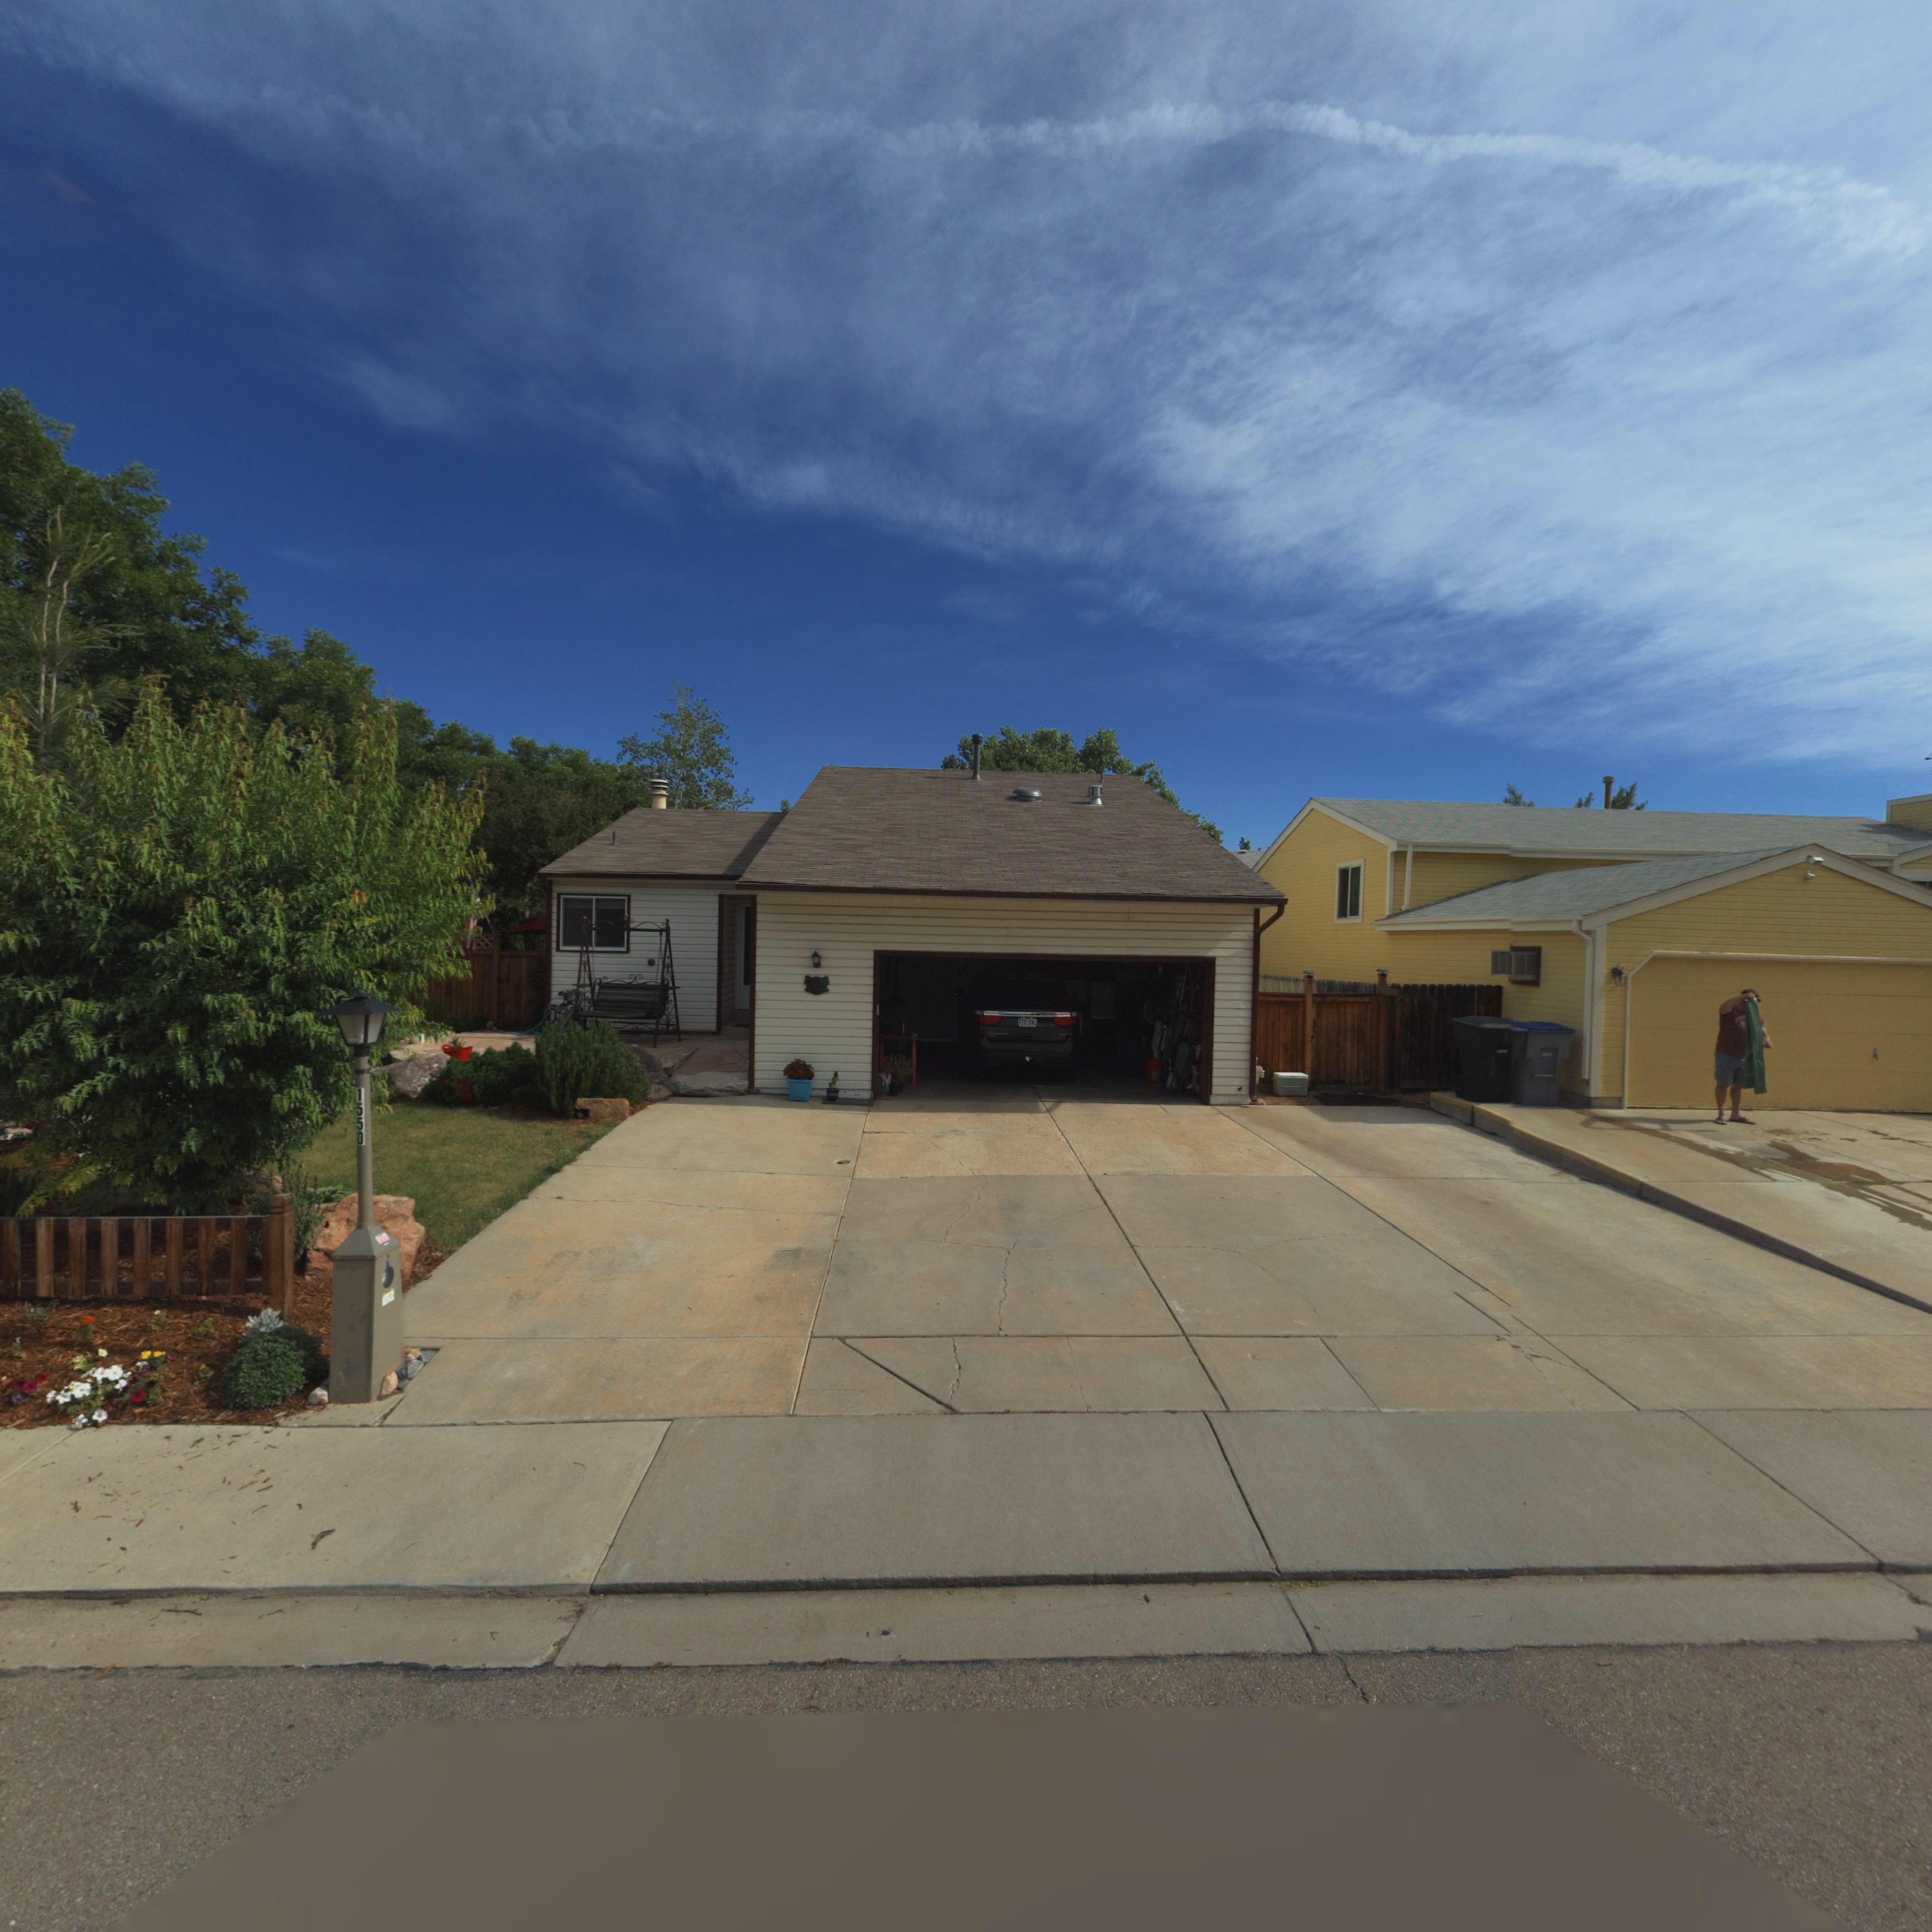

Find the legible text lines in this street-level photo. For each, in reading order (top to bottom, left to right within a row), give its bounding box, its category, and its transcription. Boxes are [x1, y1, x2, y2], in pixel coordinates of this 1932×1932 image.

[356, 1088, 363, 1145] StreetNumber: 1550